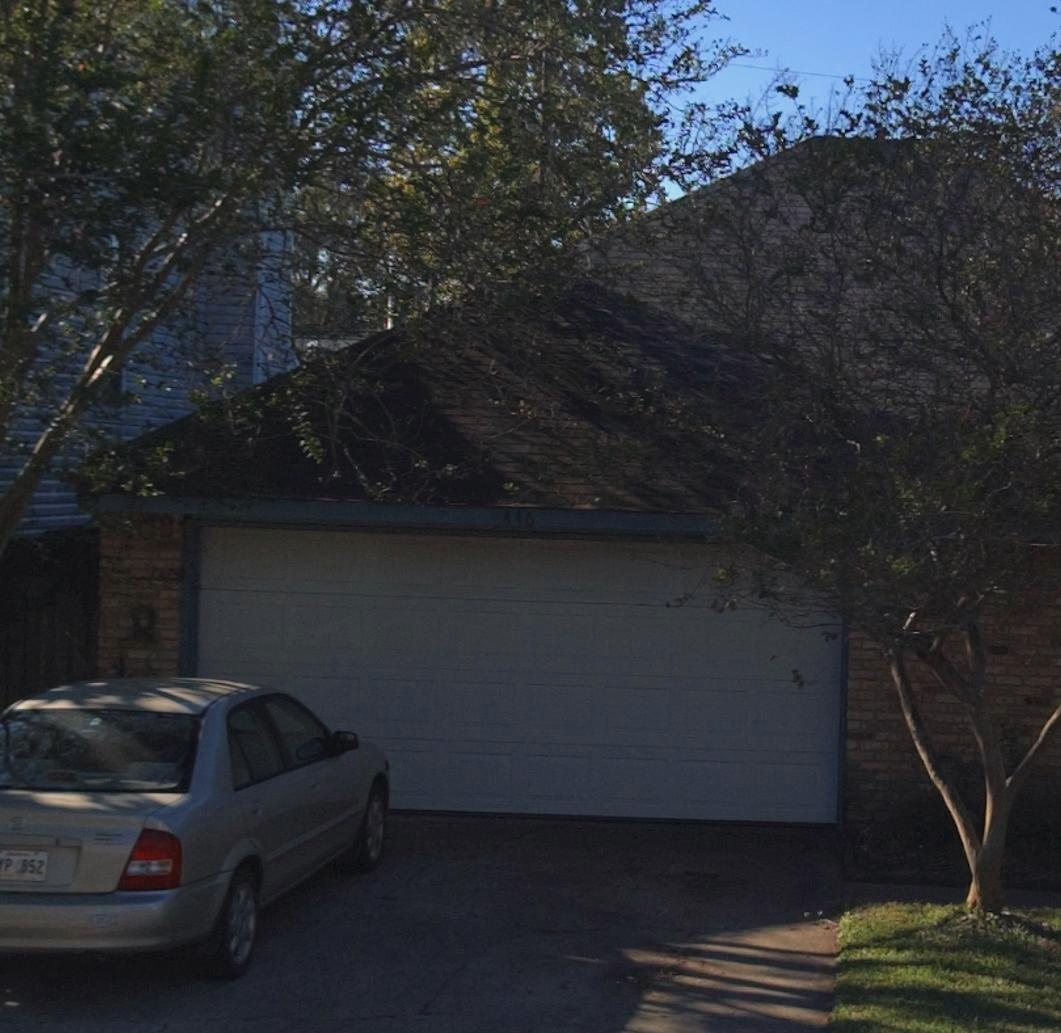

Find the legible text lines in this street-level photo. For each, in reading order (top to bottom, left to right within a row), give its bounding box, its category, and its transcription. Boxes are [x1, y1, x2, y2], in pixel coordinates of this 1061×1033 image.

[503, 508, 535, 527] StreetNumber: 446
[3, 858, 45, 876] None: P 852